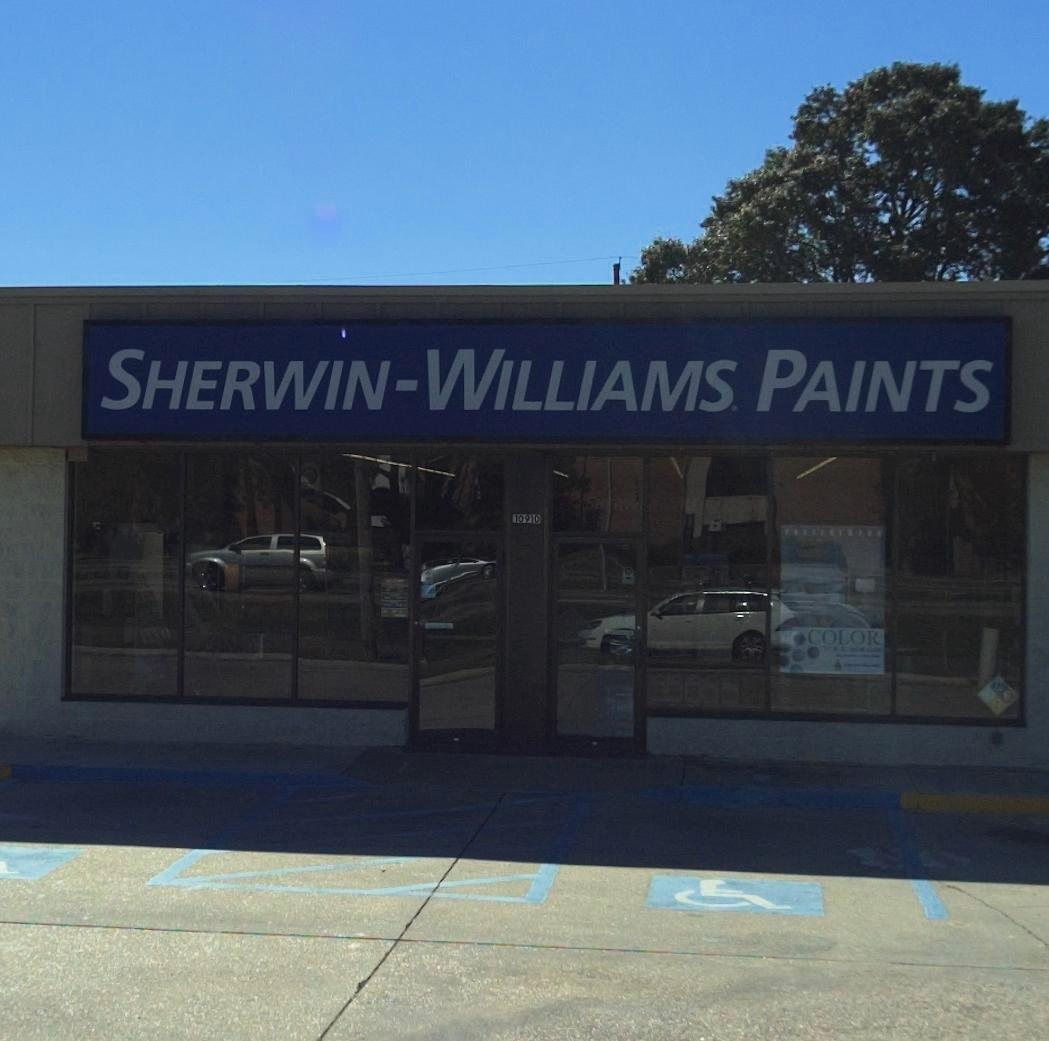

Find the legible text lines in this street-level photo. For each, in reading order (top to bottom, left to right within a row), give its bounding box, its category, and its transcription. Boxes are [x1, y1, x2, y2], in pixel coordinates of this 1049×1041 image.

[92, 342, 998, 420] BusinessName: SHERWIN-WILLIAMS PAINTS
[513, 513, 541, 524] StreetNumber: 10910
[806, 627, 883, 648] None: COLOR